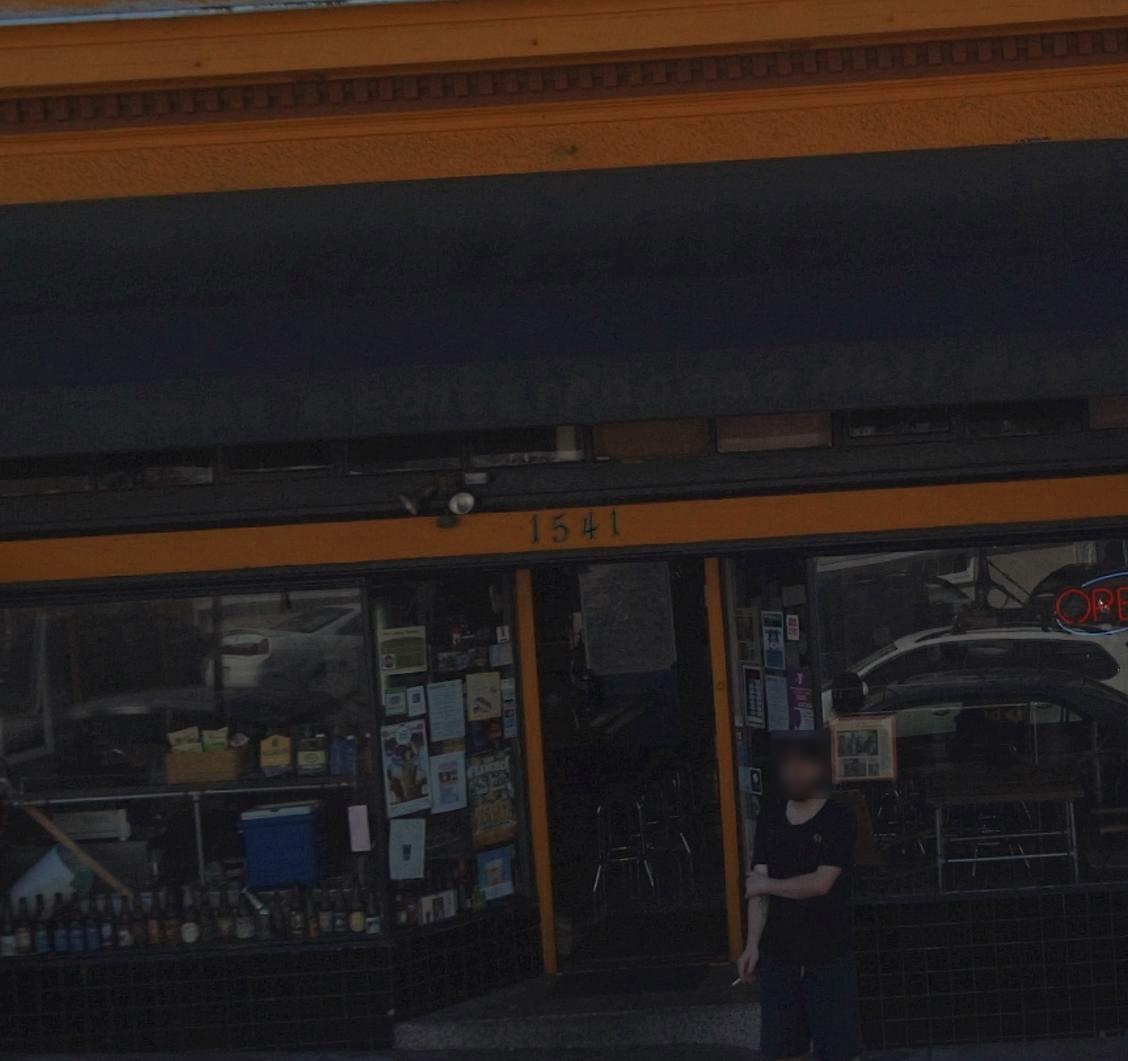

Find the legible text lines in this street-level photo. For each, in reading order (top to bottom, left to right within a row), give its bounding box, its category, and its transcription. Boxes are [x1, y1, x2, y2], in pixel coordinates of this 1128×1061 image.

[529, 507, 622, 545] StreetNumber: 1541
[1052, 586, 1118, 627] None: OP